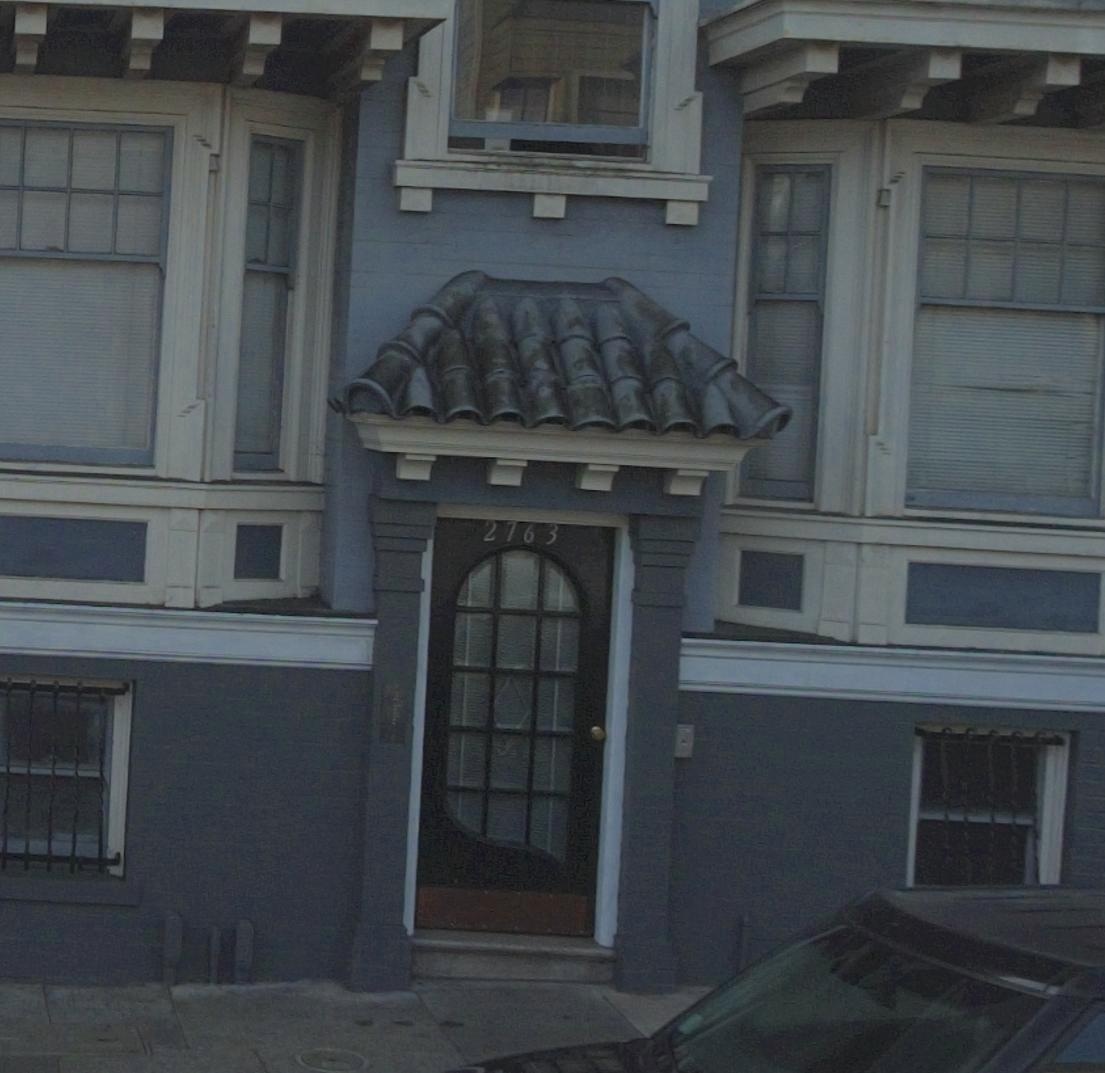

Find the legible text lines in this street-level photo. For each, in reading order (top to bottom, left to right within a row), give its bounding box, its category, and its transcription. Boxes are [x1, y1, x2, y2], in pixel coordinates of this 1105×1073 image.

[478, 516, 560, 548] StreetNumber: 2763